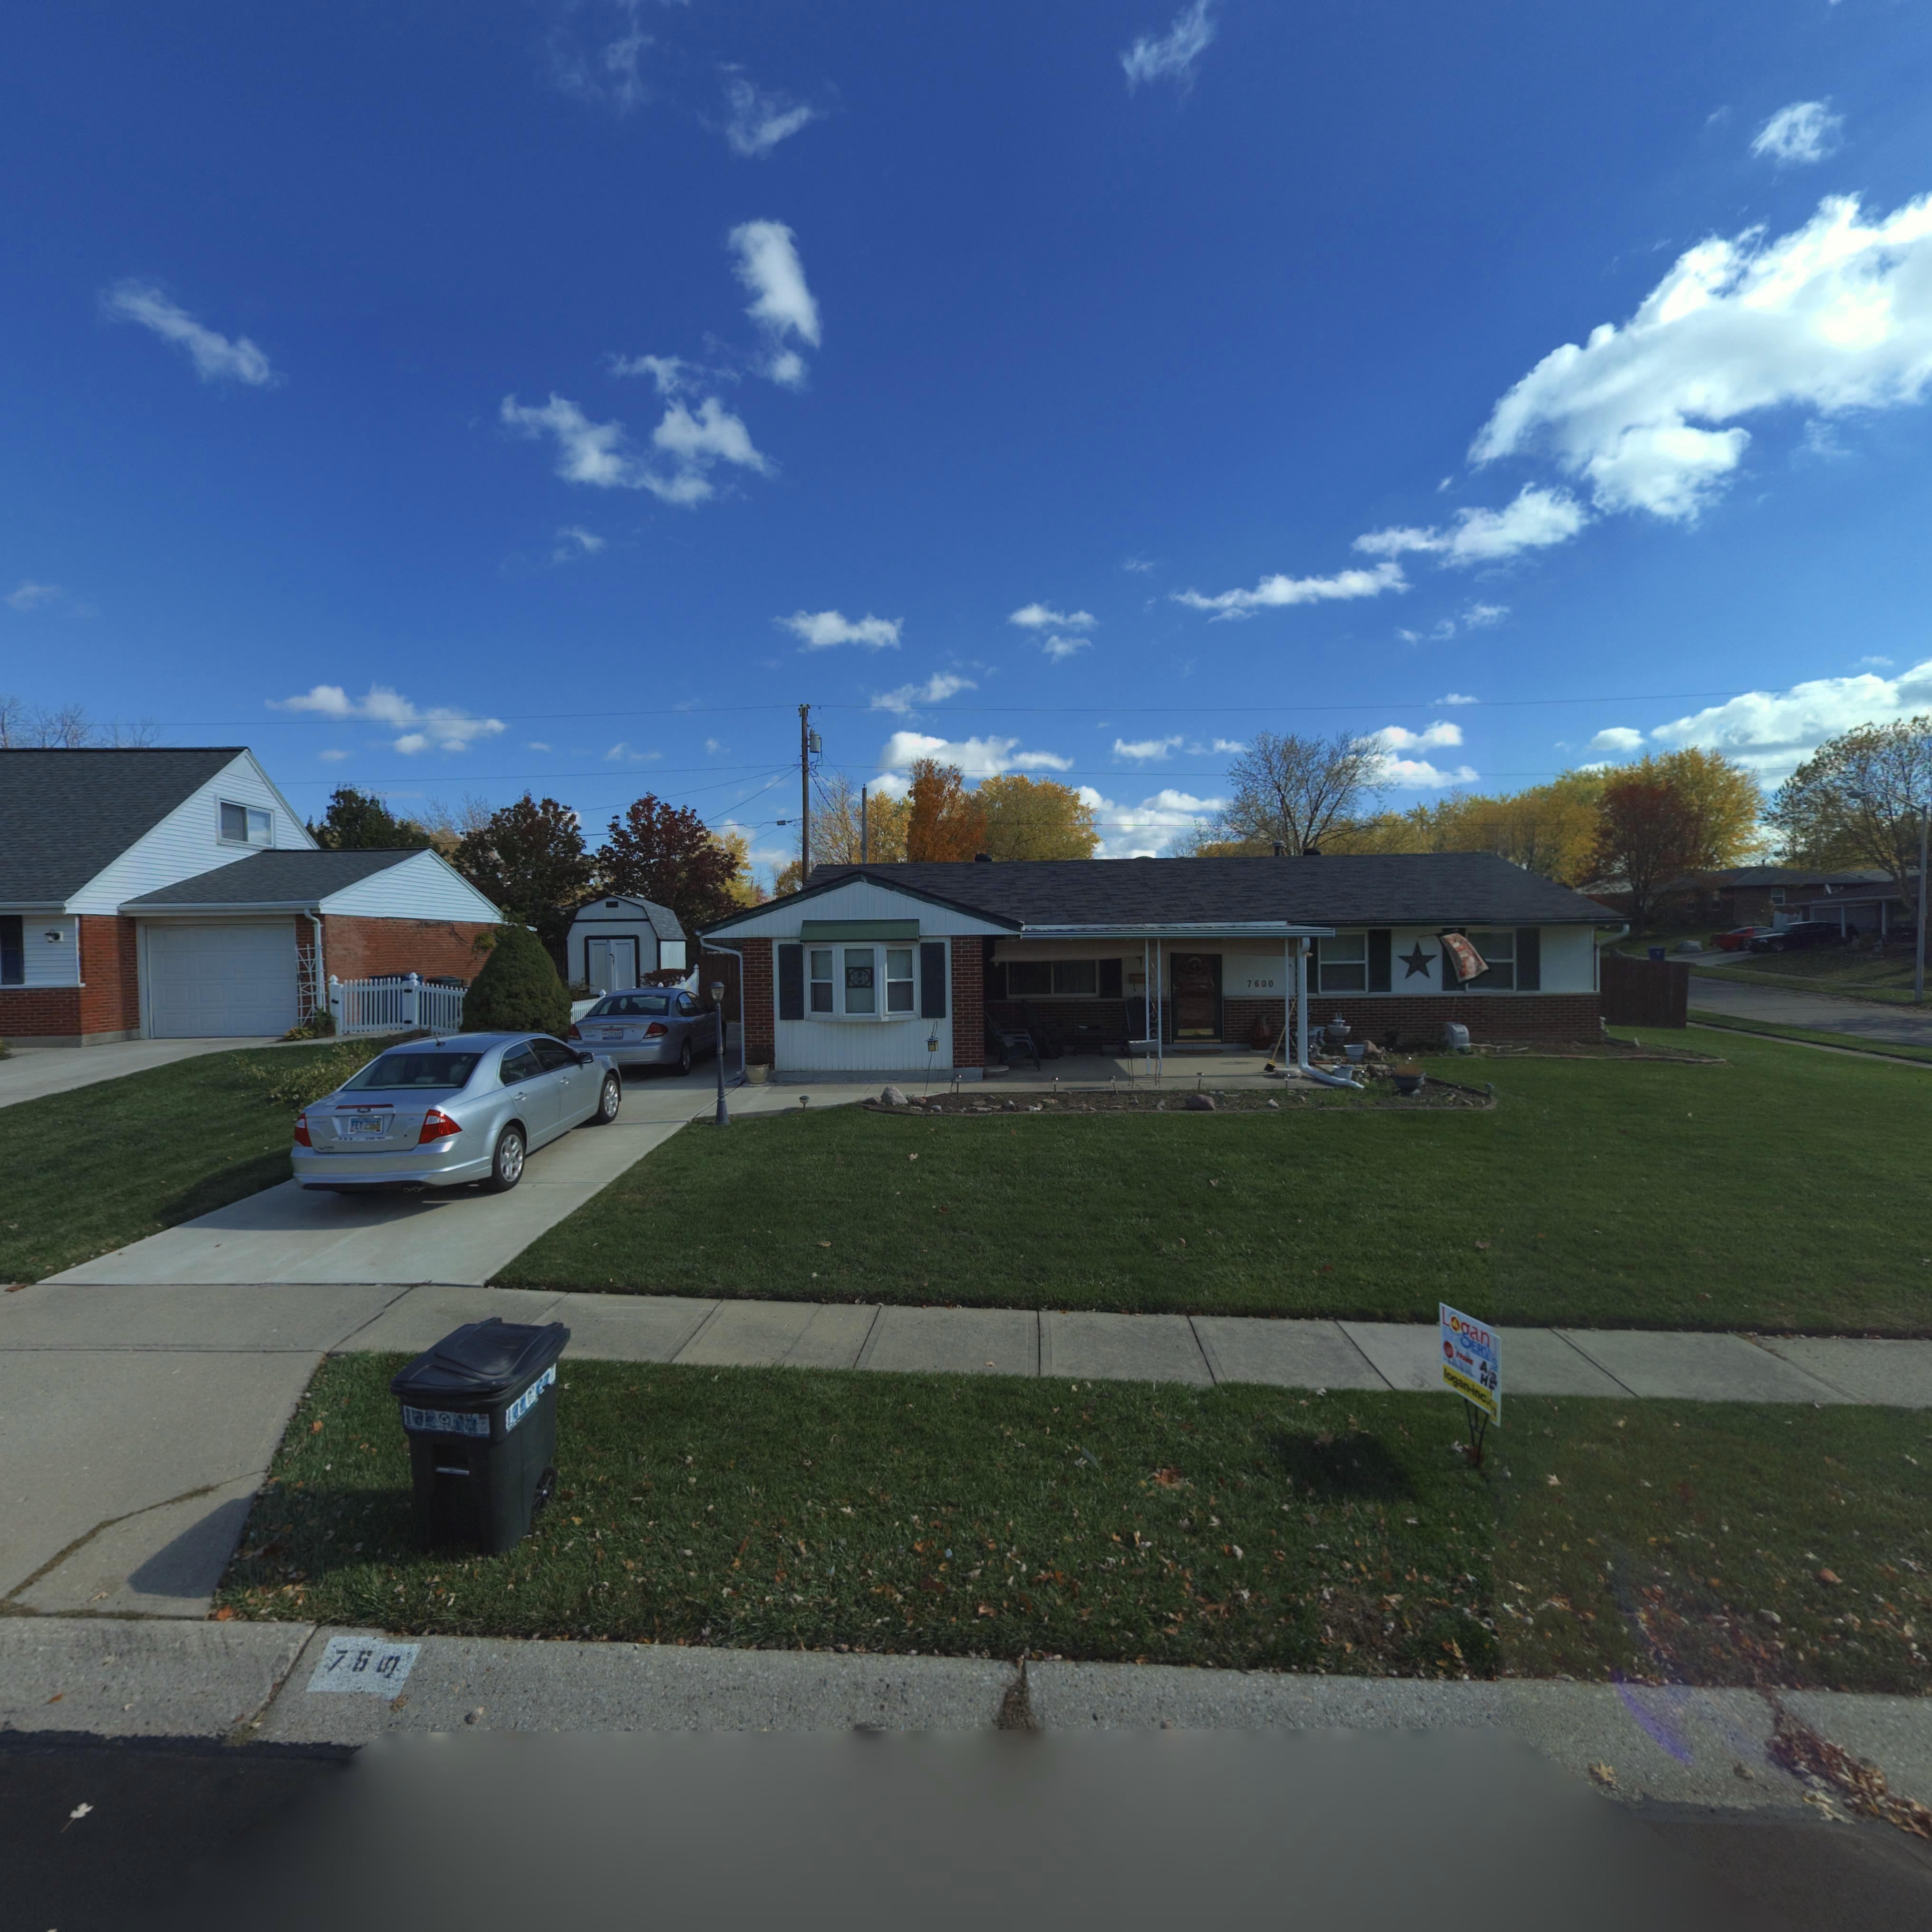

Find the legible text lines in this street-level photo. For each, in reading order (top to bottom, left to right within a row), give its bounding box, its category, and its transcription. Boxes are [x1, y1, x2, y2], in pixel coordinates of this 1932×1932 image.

[1247, 979, 1273, 988] StreetNumber: 7600
[324, 1648, 374, 1673] StreetNumber: 76